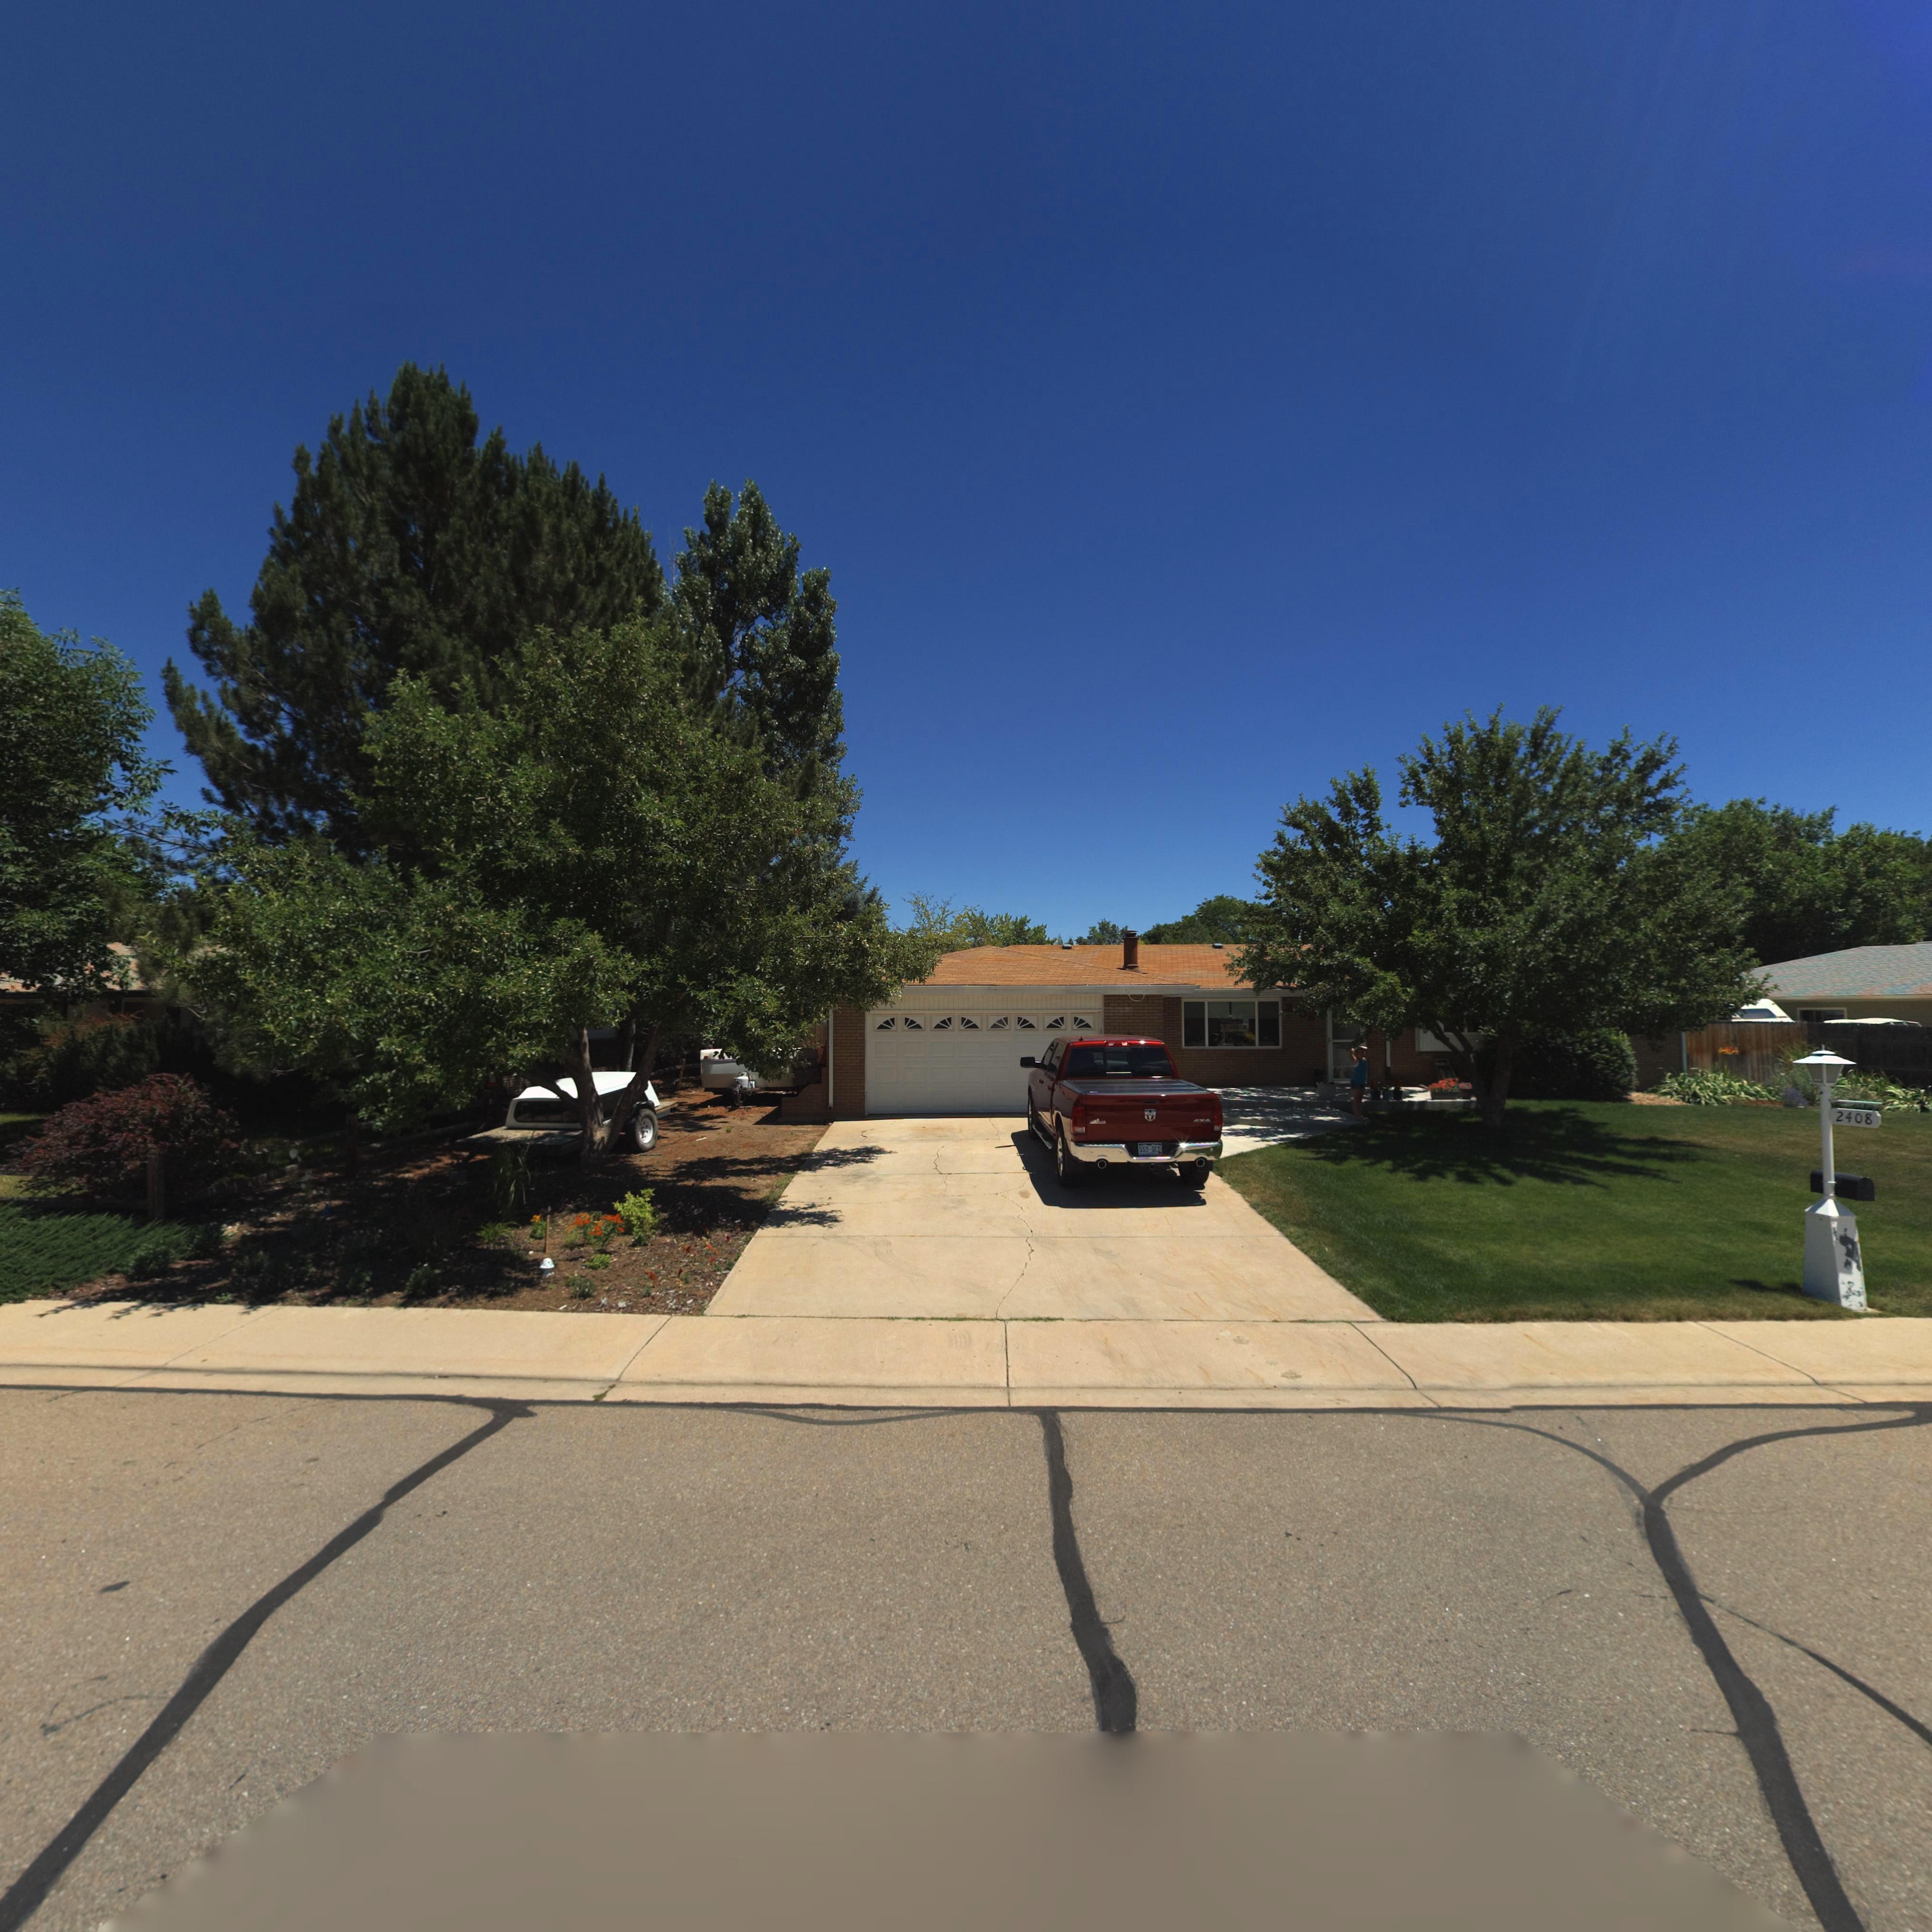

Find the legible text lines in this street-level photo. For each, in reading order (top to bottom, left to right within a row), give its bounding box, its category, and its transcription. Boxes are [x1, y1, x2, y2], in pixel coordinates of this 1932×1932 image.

[1835, 1110, 1873, 1125] StreetNumber: 2408